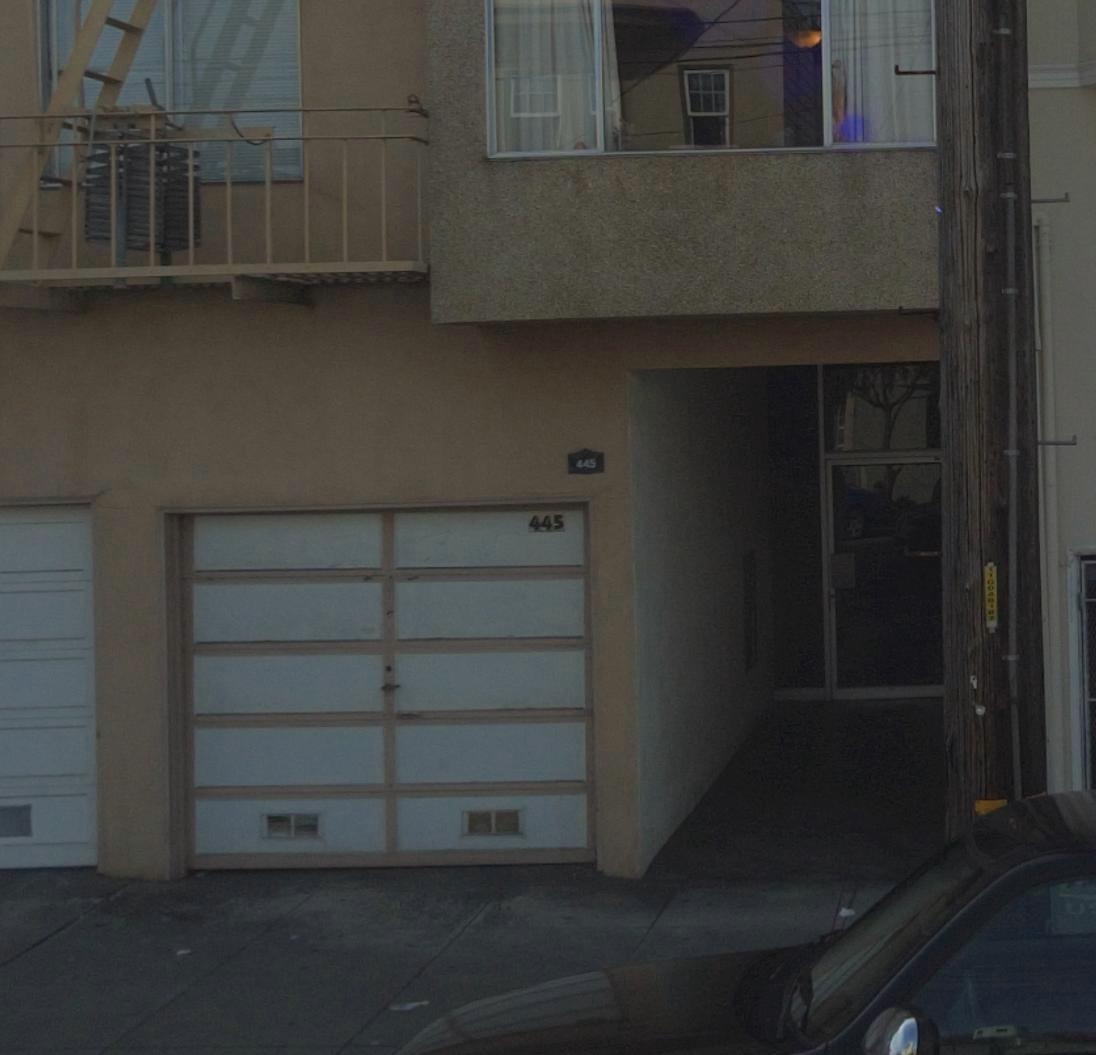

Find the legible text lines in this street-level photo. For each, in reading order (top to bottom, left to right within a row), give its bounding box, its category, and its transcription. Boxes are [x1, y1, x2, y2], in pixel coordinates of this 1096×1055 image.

[575, 457, 597, 470] StreetNumber: 445
[528, 513, 565, 532] StreetNumber: 445
[984, 564, 994, 622] None: 11004*1**